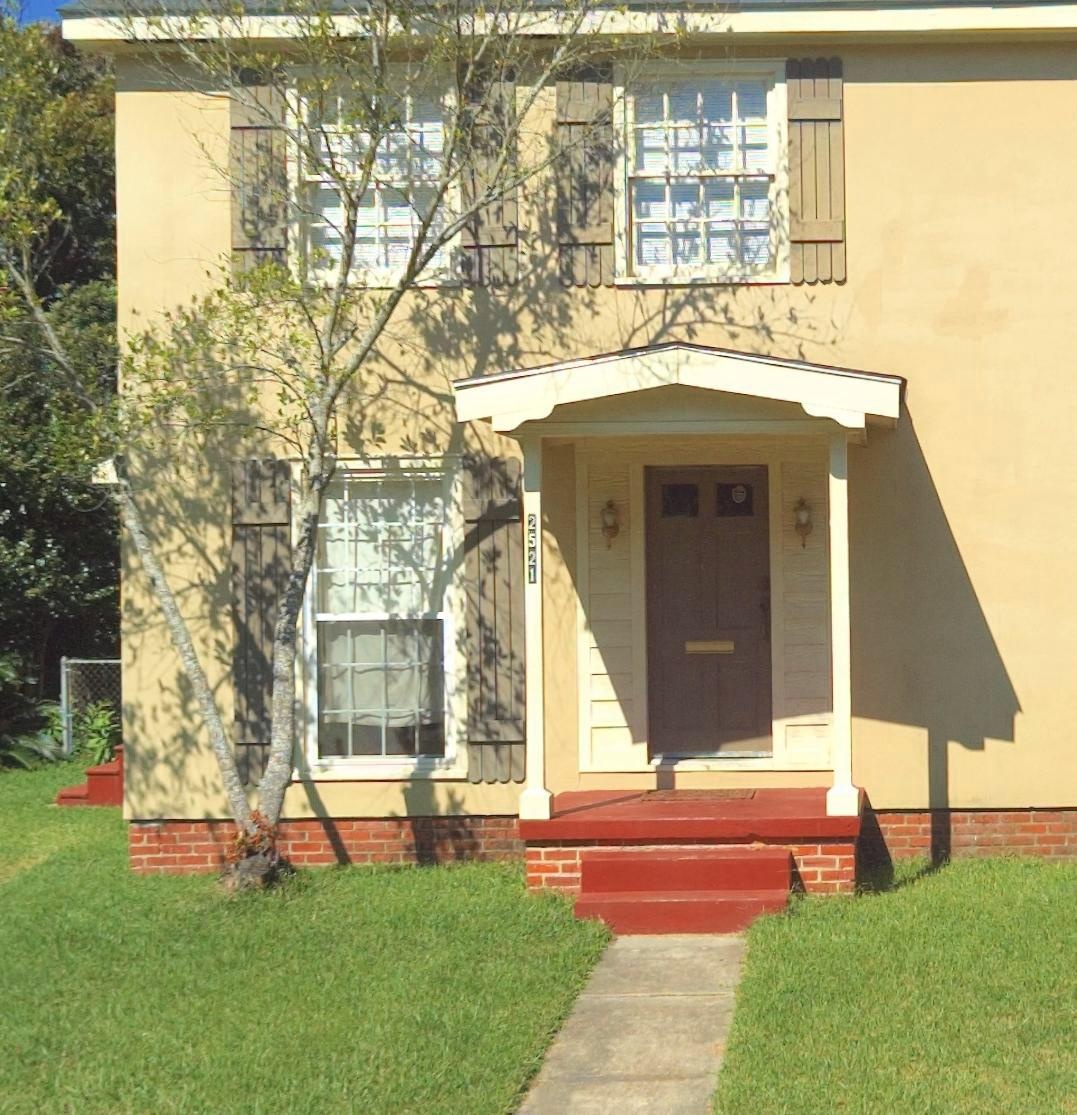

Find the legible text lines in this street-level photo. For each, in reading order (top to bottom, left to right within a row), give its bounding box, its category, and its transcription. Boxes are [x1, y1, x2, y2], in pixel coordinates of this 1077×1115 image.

[527, 513, 538, 584] StreetNumber: 2521